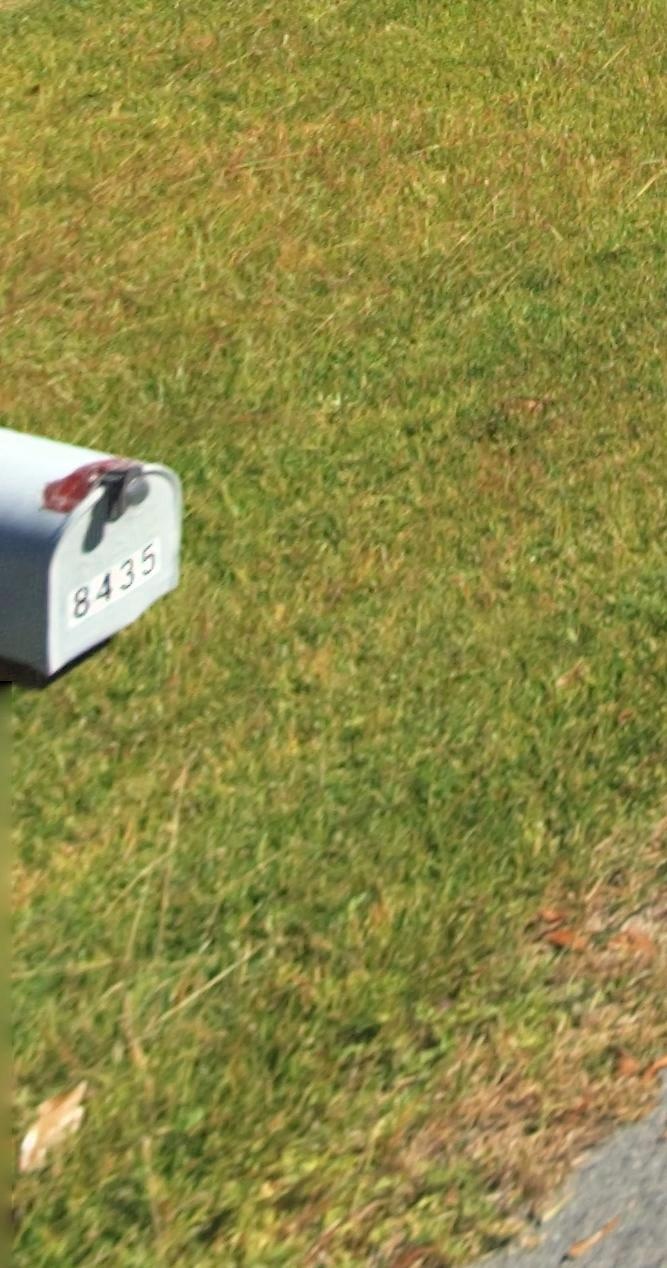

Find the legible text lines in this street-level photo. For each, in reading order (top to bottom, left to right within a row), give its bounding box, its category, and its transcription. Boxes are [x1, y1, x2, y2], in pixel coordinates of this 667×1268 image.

[71, 535, 158, 623] StreetNumber: 8435